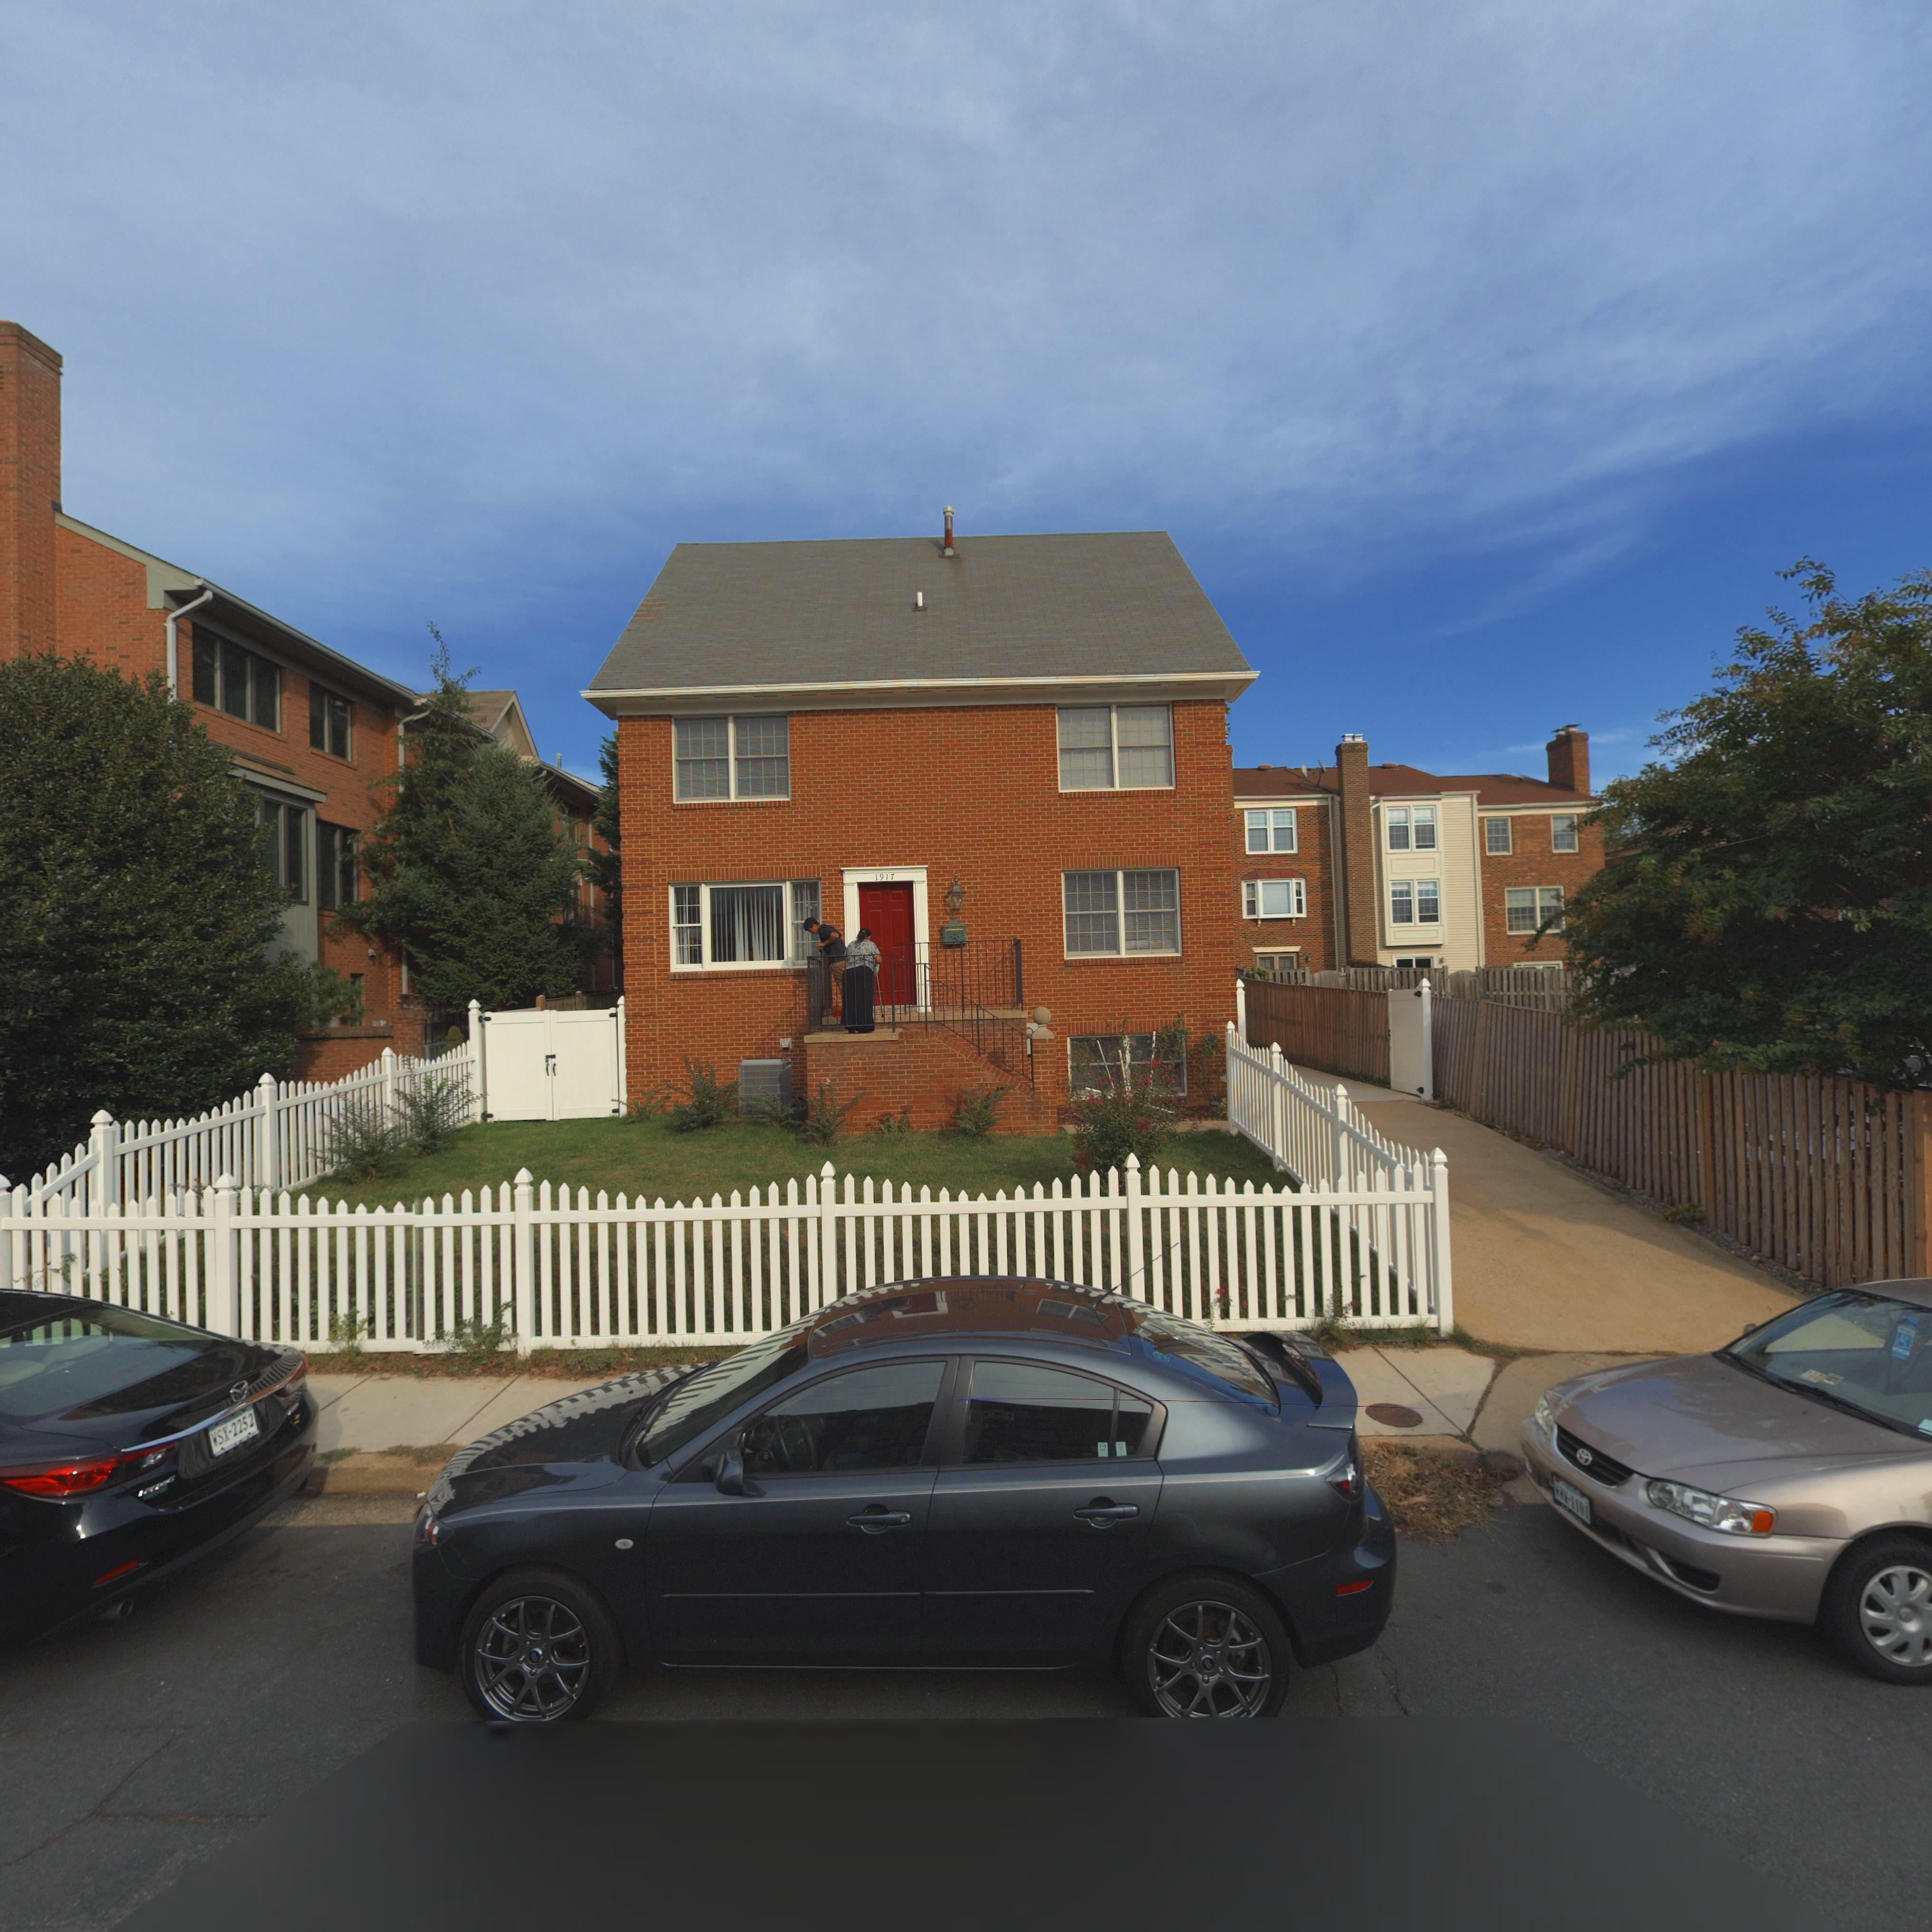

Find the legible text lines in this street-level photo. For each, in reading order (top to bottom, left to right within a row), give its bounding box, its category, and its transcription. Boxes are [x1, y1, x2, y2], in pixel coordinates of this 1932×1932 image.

[875, 873, 895, 881] StreetNumber: 1917
[210, 1411, 255, 1448] None: WSX-2252
[1555, 1482, 1589, 1521] None: WWW-1101